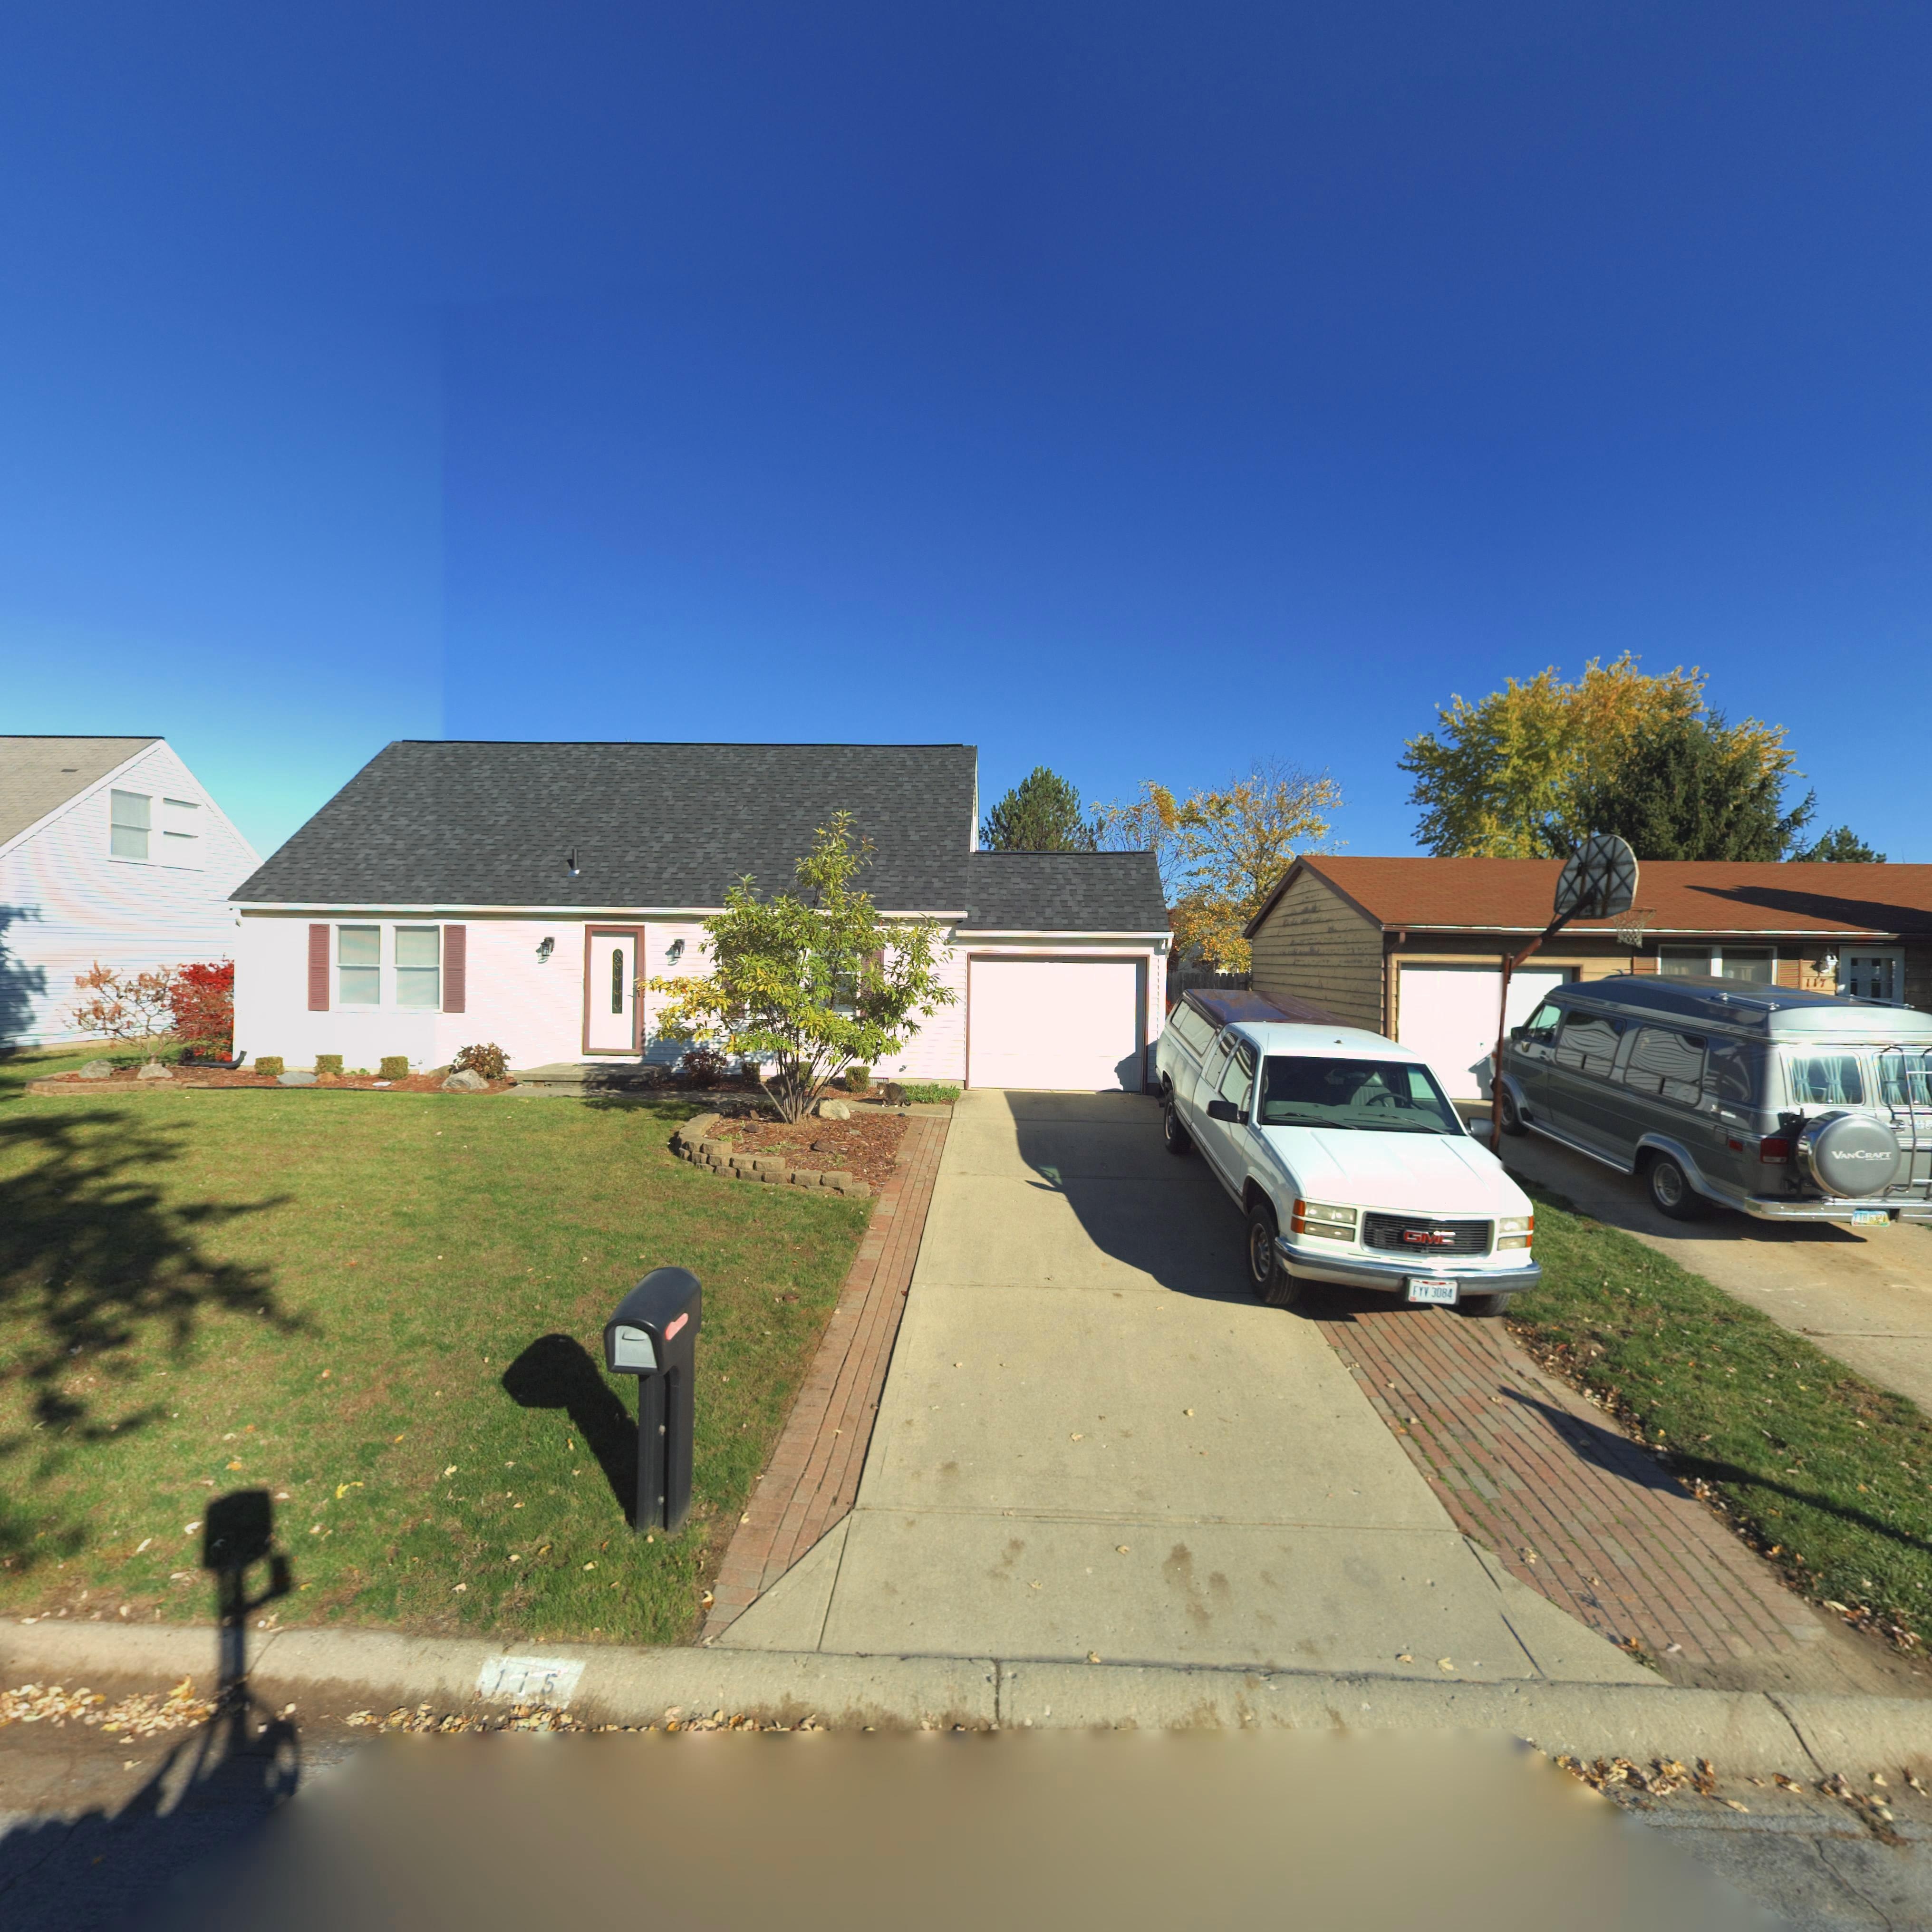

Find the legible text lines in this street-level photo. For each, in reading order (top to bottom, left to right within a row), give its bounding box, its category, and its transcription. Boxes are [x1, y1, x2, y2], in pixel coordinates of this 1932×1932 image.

[1805, 977, 1828, 988] StreetNumber: 117
[493, 1667, 562, 1696] StreetNumber: 115